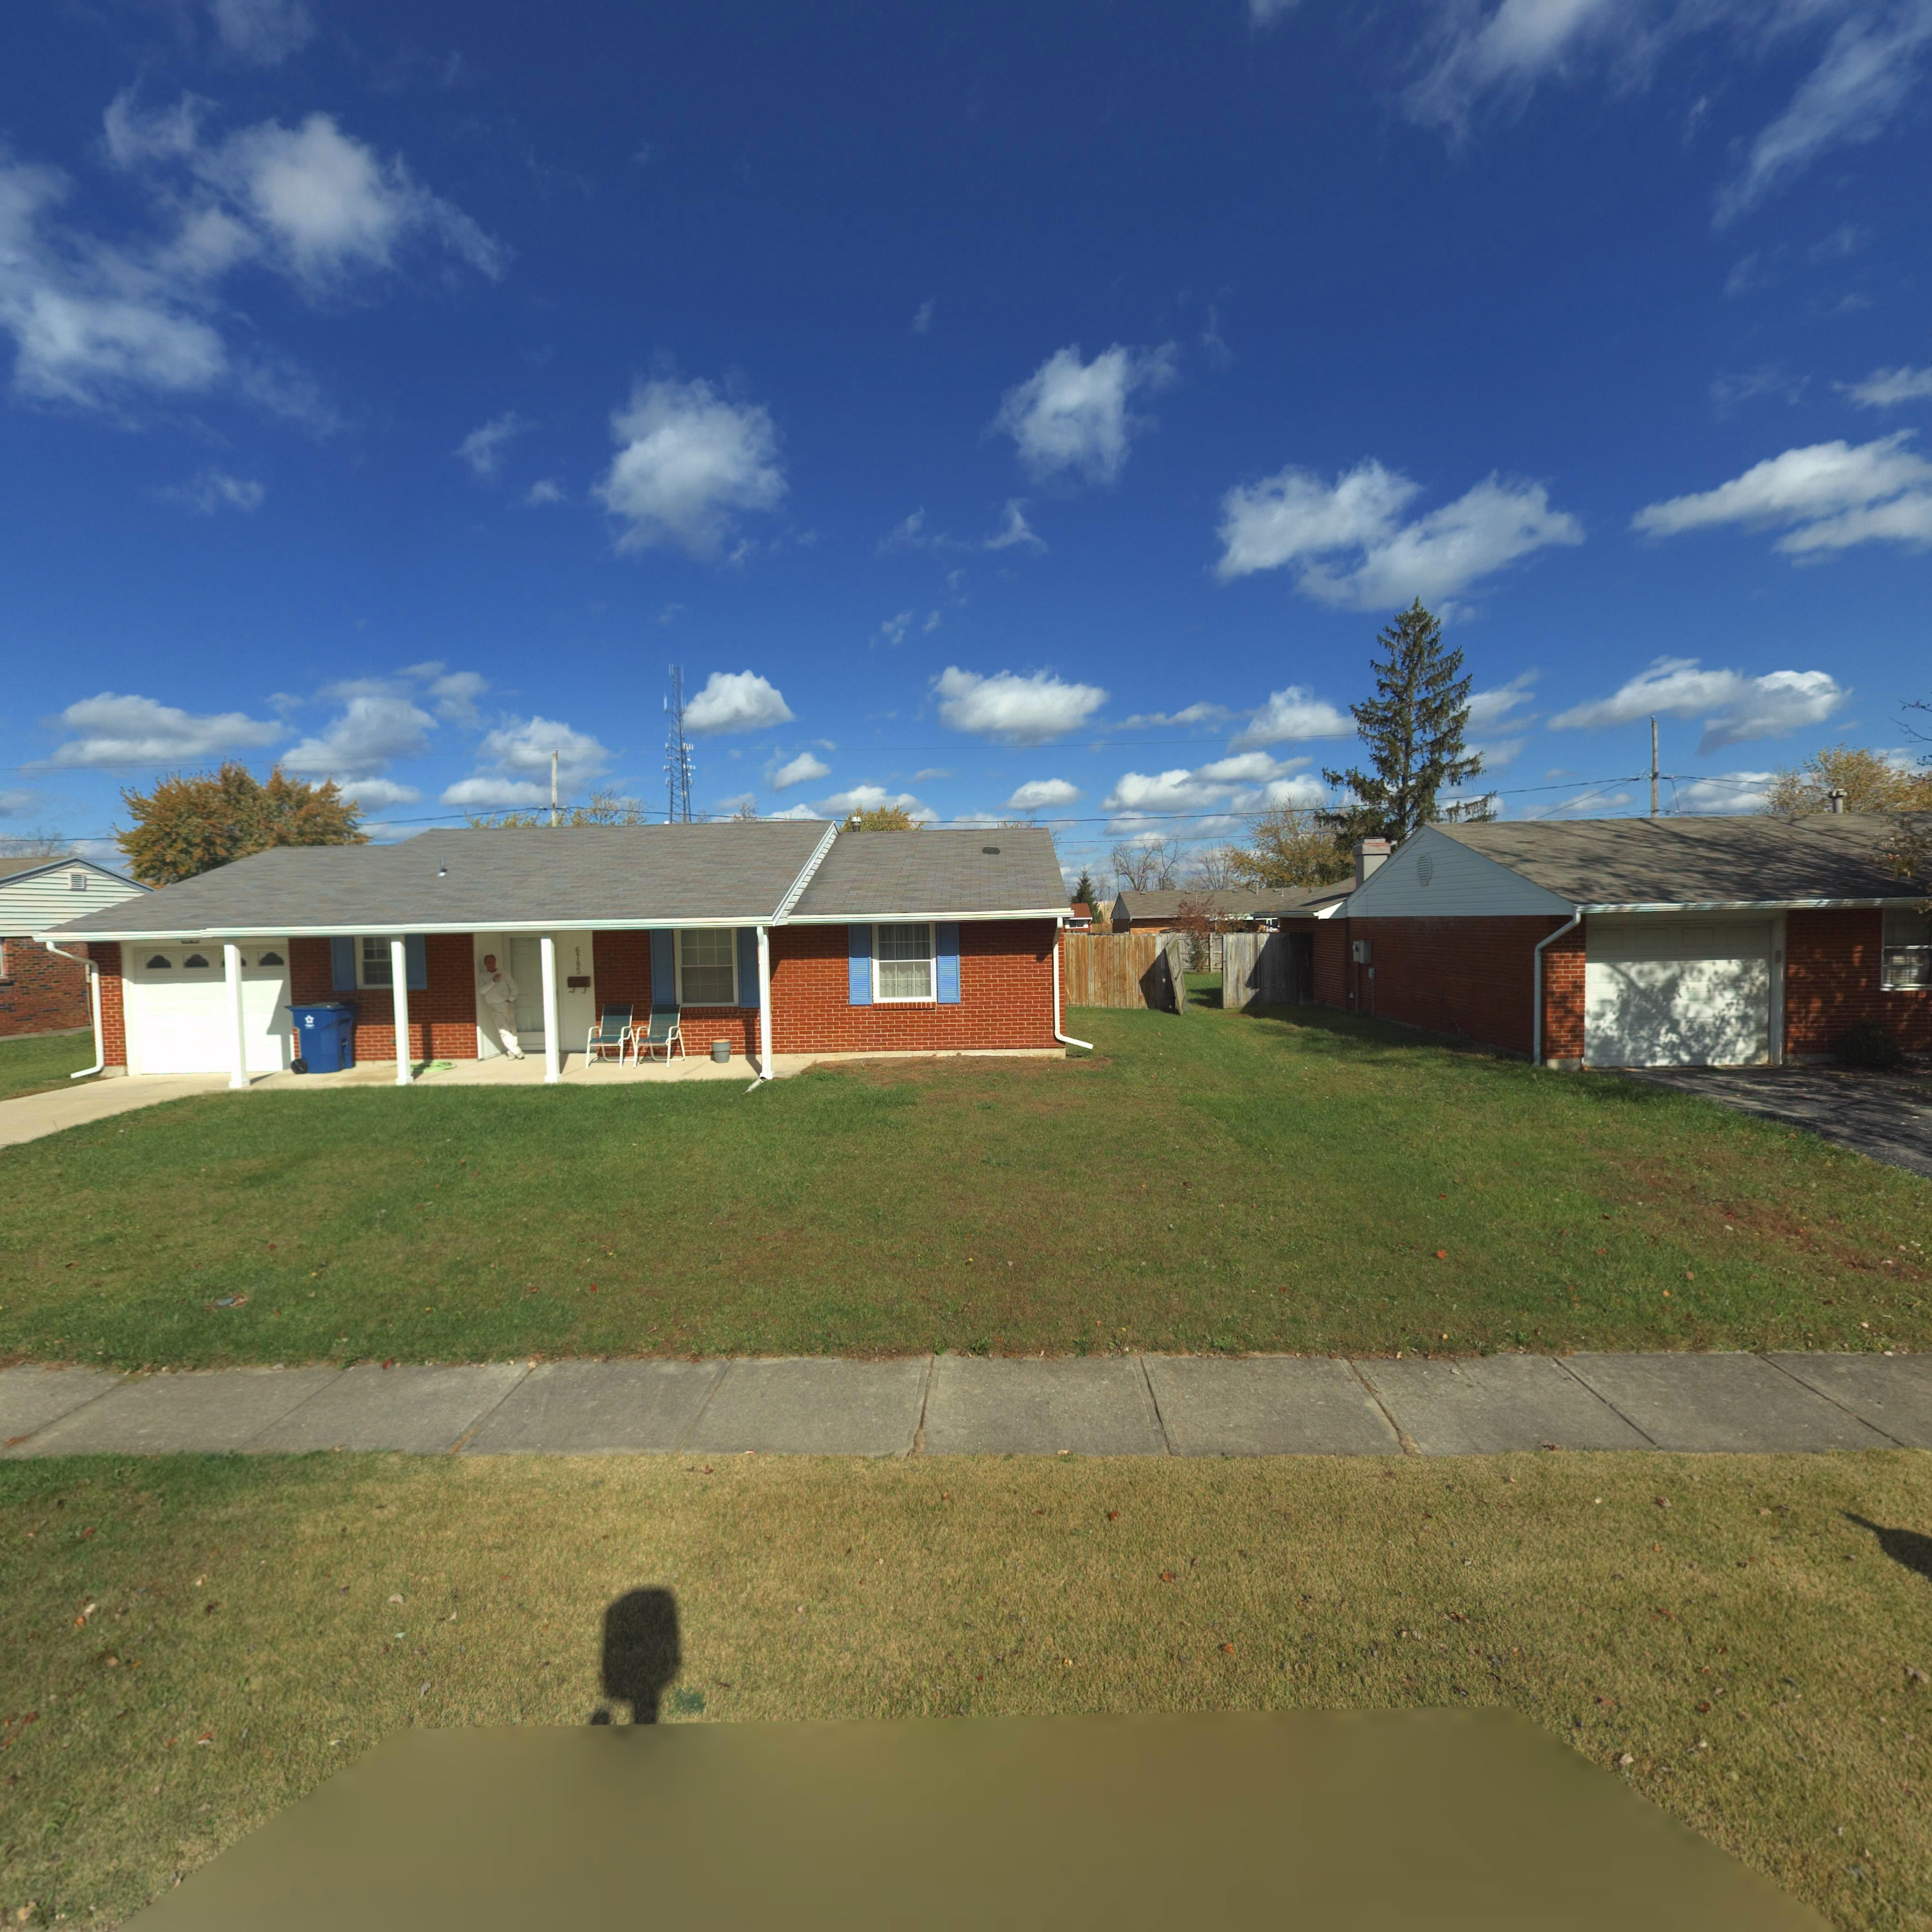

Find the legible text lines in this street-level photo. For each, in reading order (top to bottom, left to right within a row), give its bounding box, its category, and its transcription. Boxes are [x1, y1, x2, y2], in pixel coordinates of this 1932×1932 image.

[575, 946, 581, 975] StreetNumber: 6785